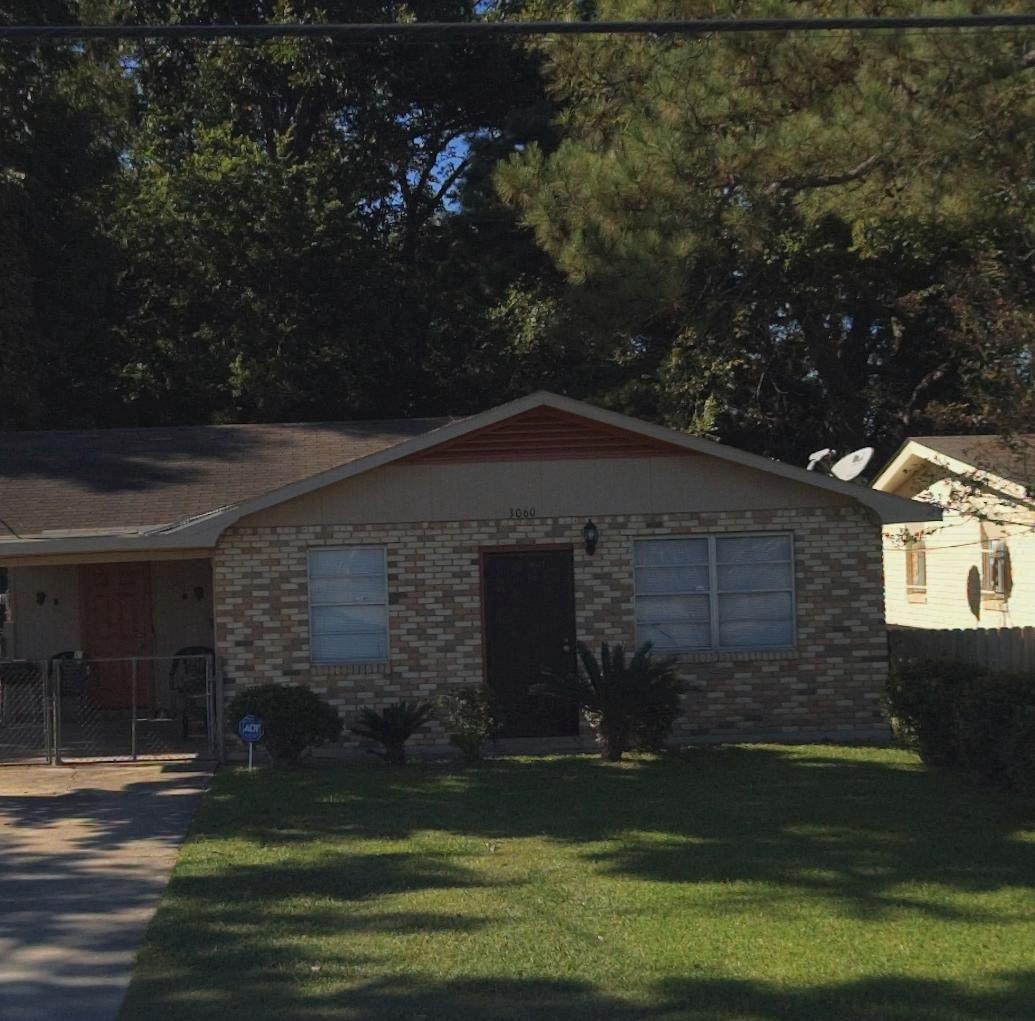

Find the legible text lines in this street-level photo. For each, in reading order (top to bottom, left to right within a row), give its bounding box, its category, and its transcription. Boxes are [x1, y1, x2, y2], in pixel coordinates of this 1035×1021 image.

[507, 504, 537, 521] StreetNumber: 3060
[240, 720, 264, 736] None: ADT